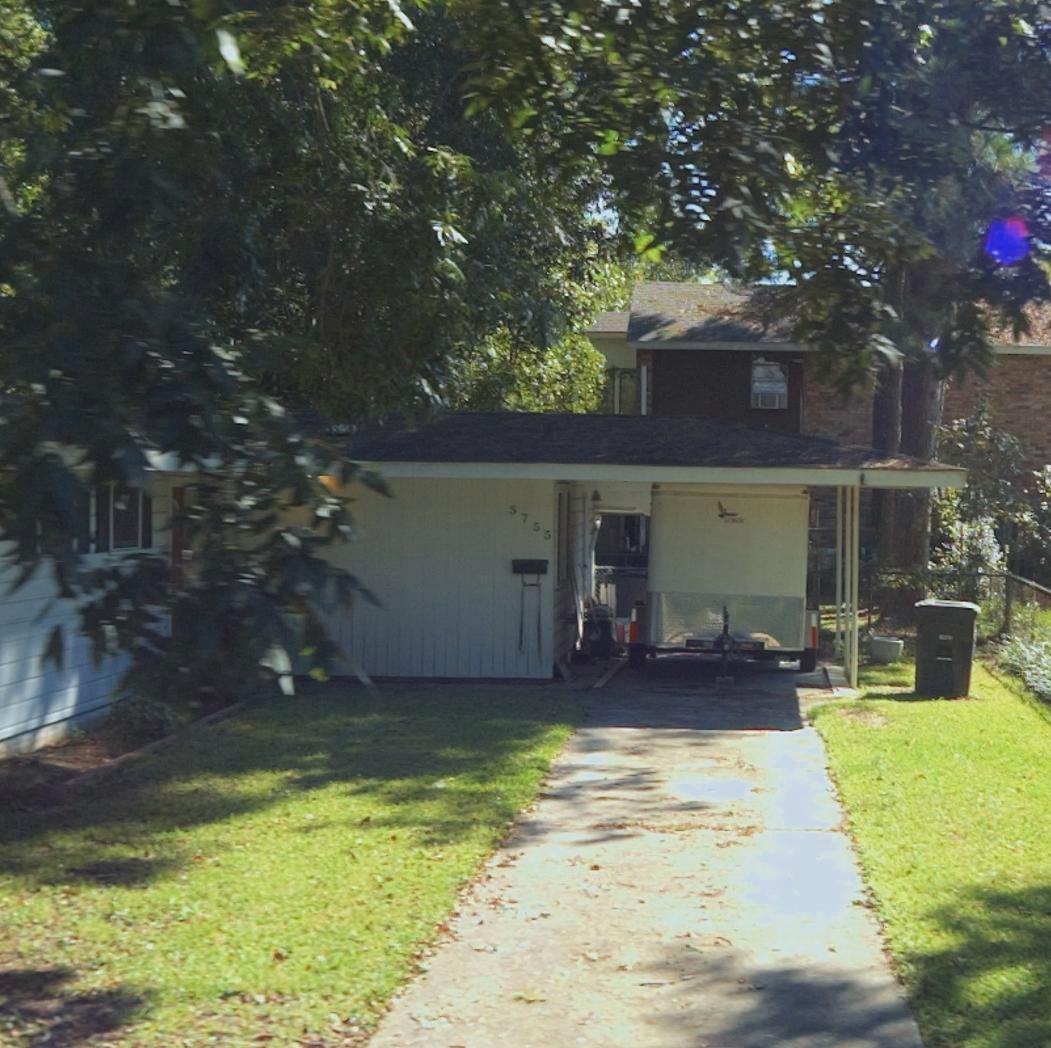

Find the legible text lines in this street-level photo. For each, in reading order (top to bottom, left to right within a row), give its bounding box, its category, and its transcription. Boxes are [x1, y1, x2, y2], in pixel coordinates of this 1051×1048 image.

[508, 503, 552, 541] StreetNumber: 5755